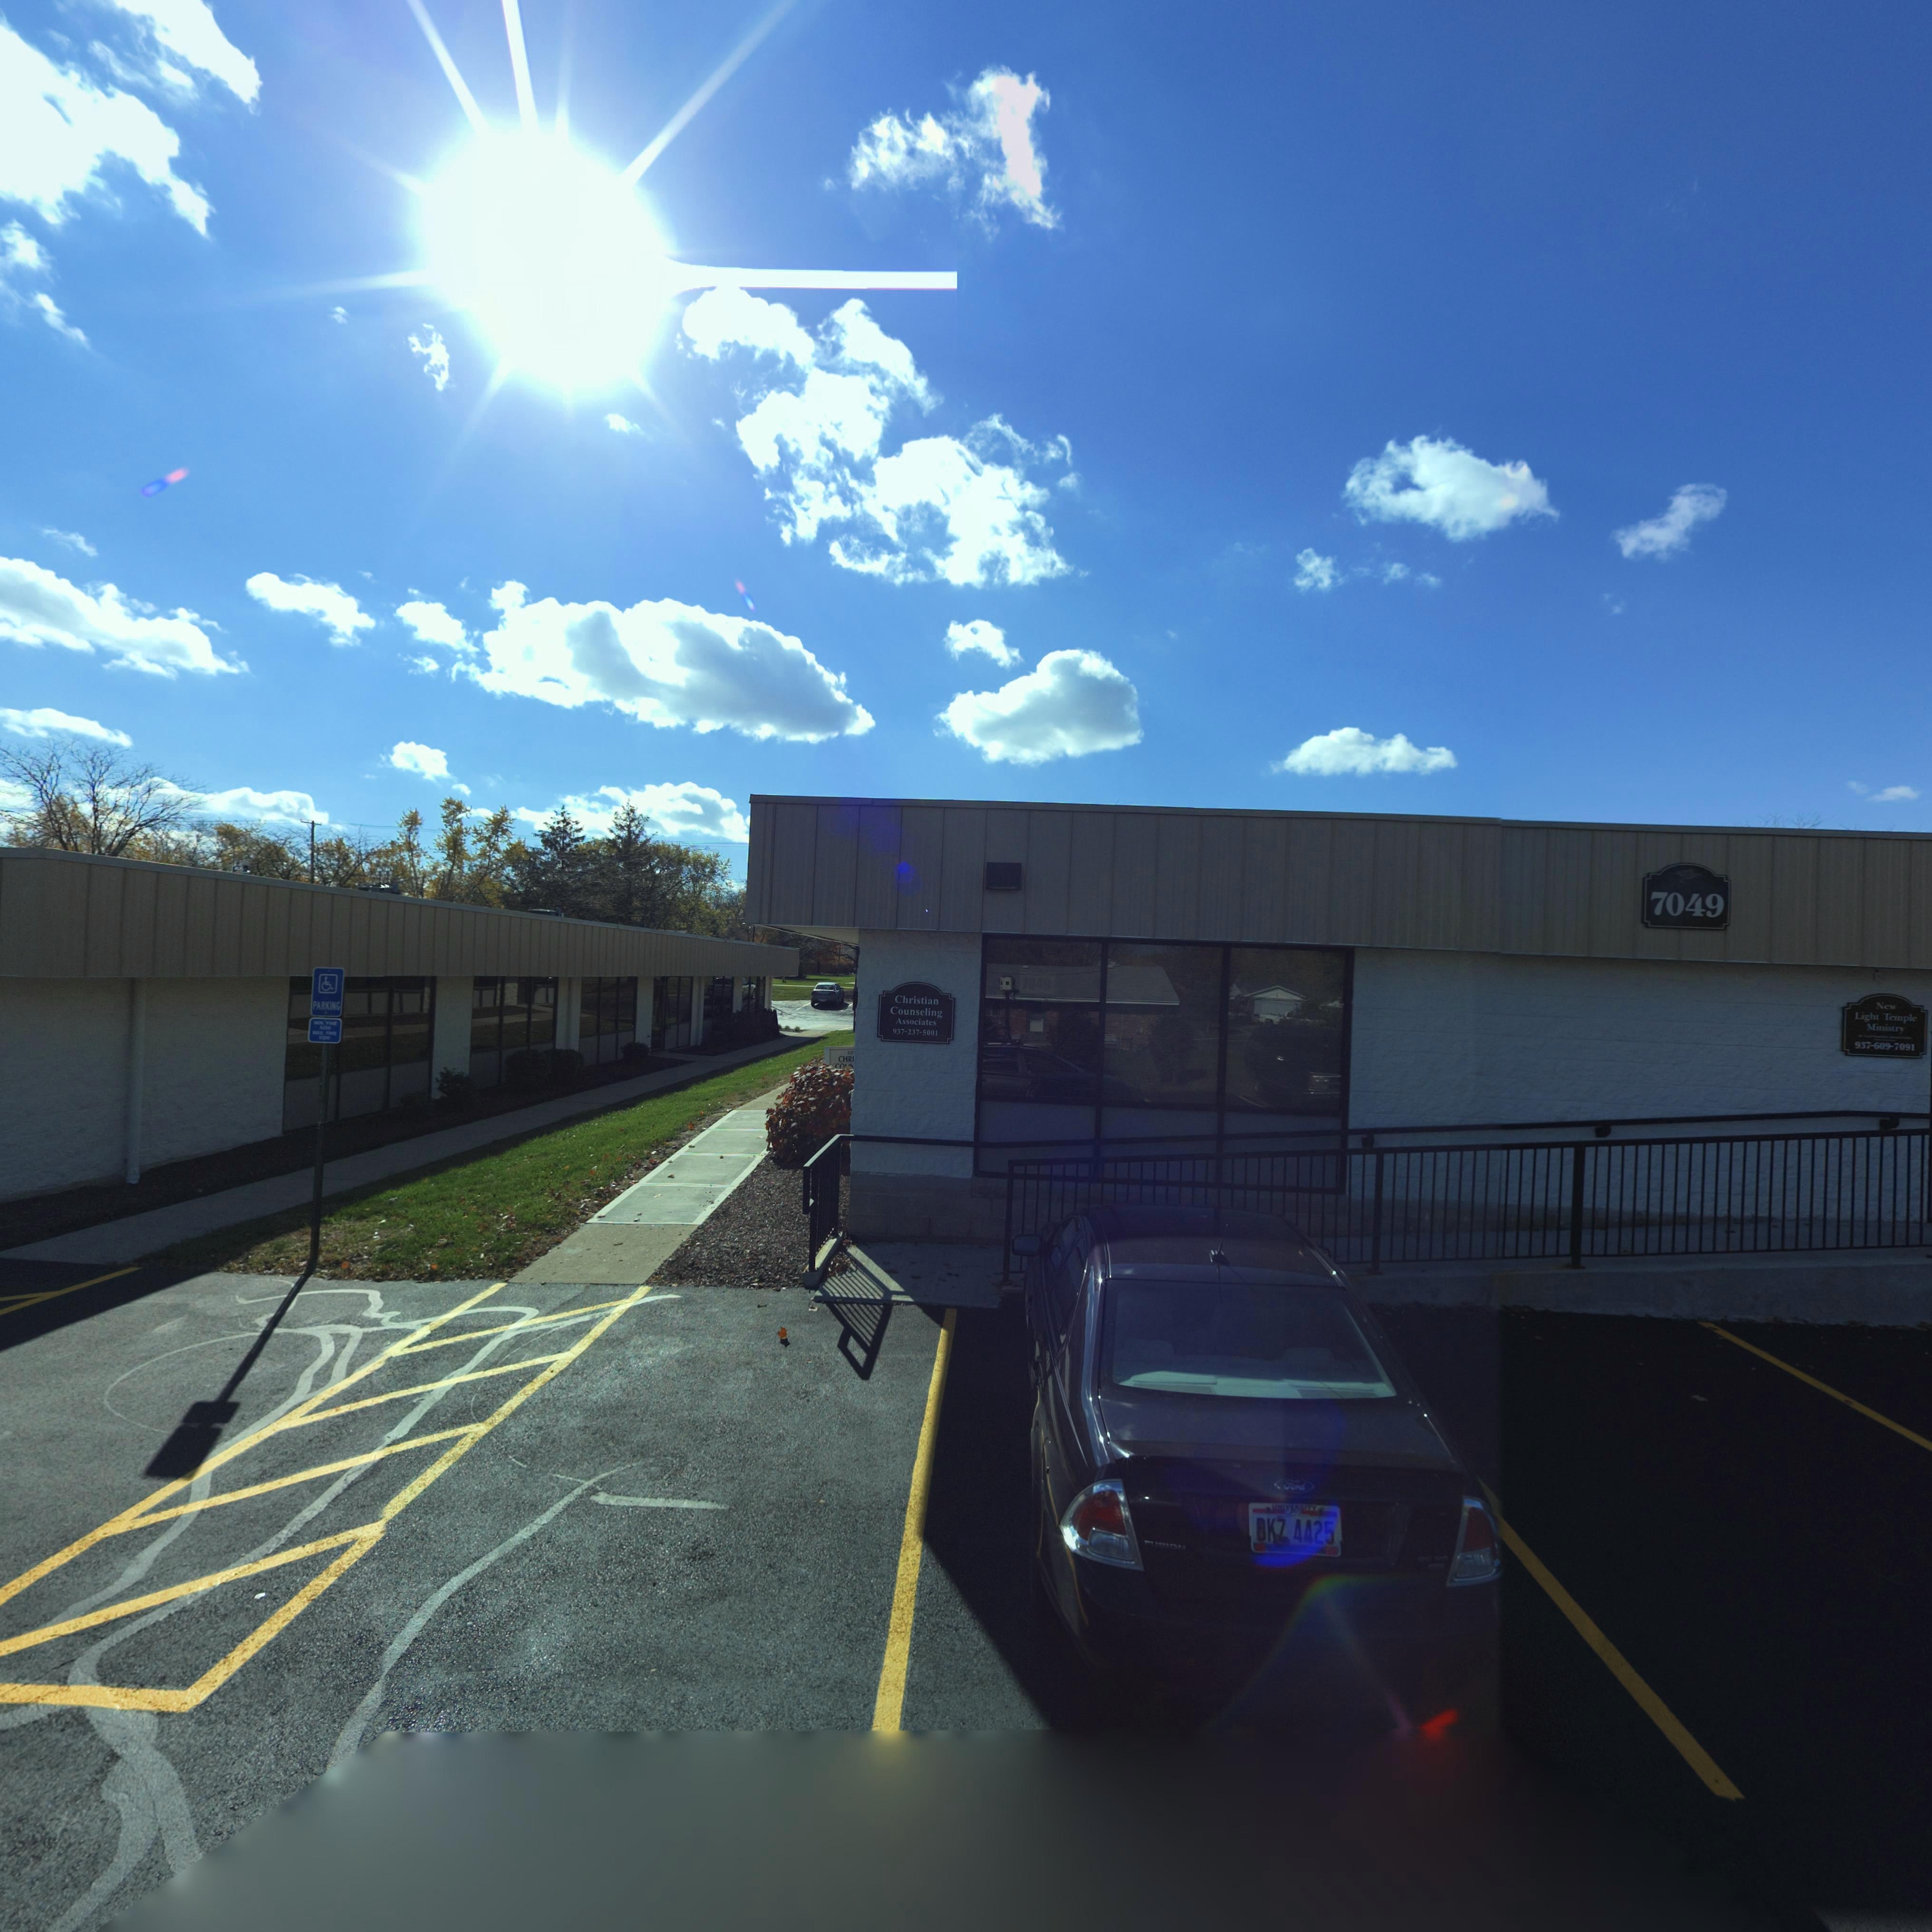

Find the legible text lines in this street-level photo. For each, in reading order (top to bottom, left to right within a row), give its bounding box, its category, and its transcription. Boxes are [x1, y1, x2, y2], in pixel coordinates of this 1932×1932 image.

[1648, 889, 1727, 920] StreetNumber: 7049